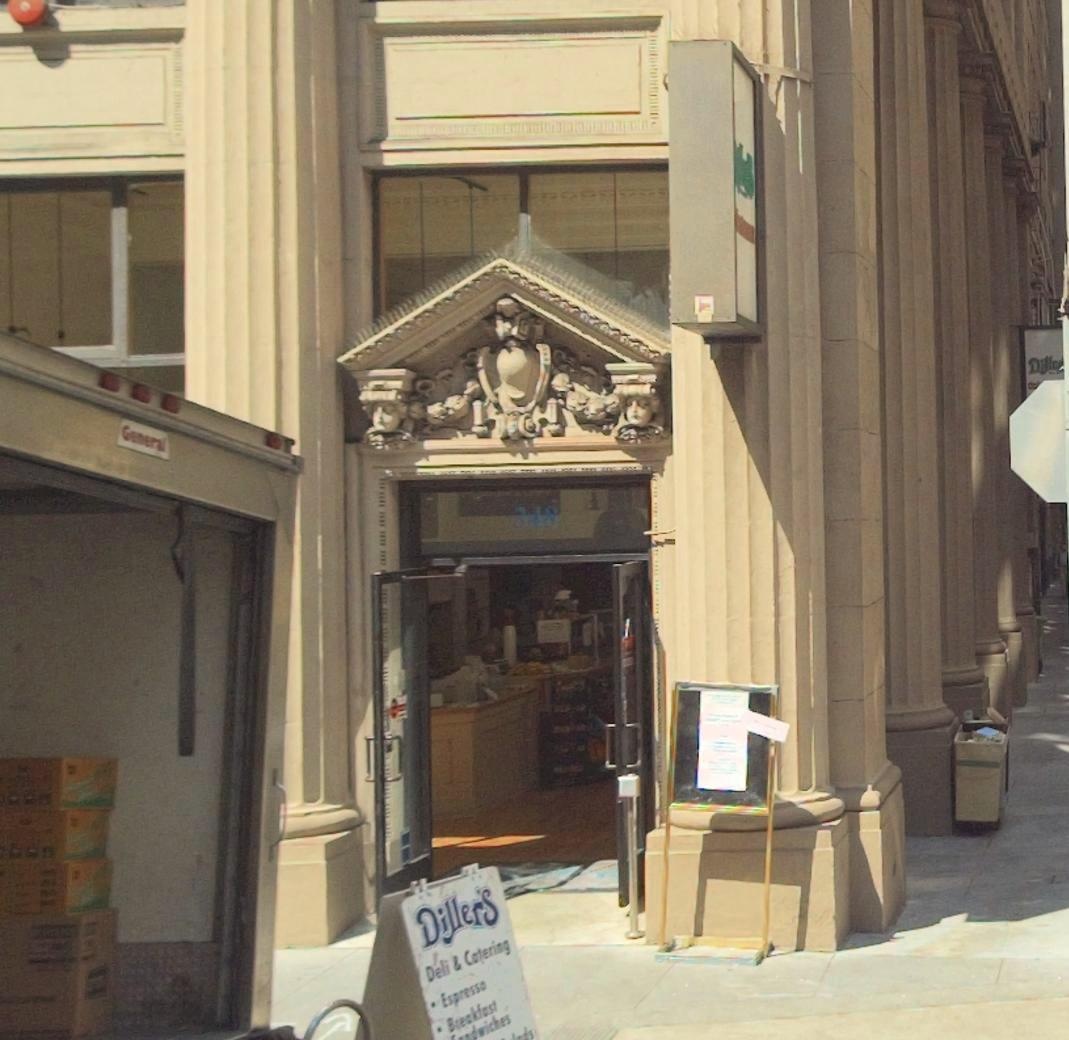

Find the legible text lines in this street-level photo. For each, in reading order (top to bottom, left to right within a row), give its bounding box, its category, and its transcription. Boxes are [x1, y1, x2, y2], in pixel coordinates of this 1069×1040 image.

[511, 503, 557, 532] StreetNumber: 348
[412, 885, 505, 956] BusinessName: Diller's
[422, 937, 512, 987] None: Deli & Catering
[437, 977, 489, 1011] None: Espresso
[442, 994, 501, 1036] None: Breakfast
[474, 1010, 516, 1039] None: wiches